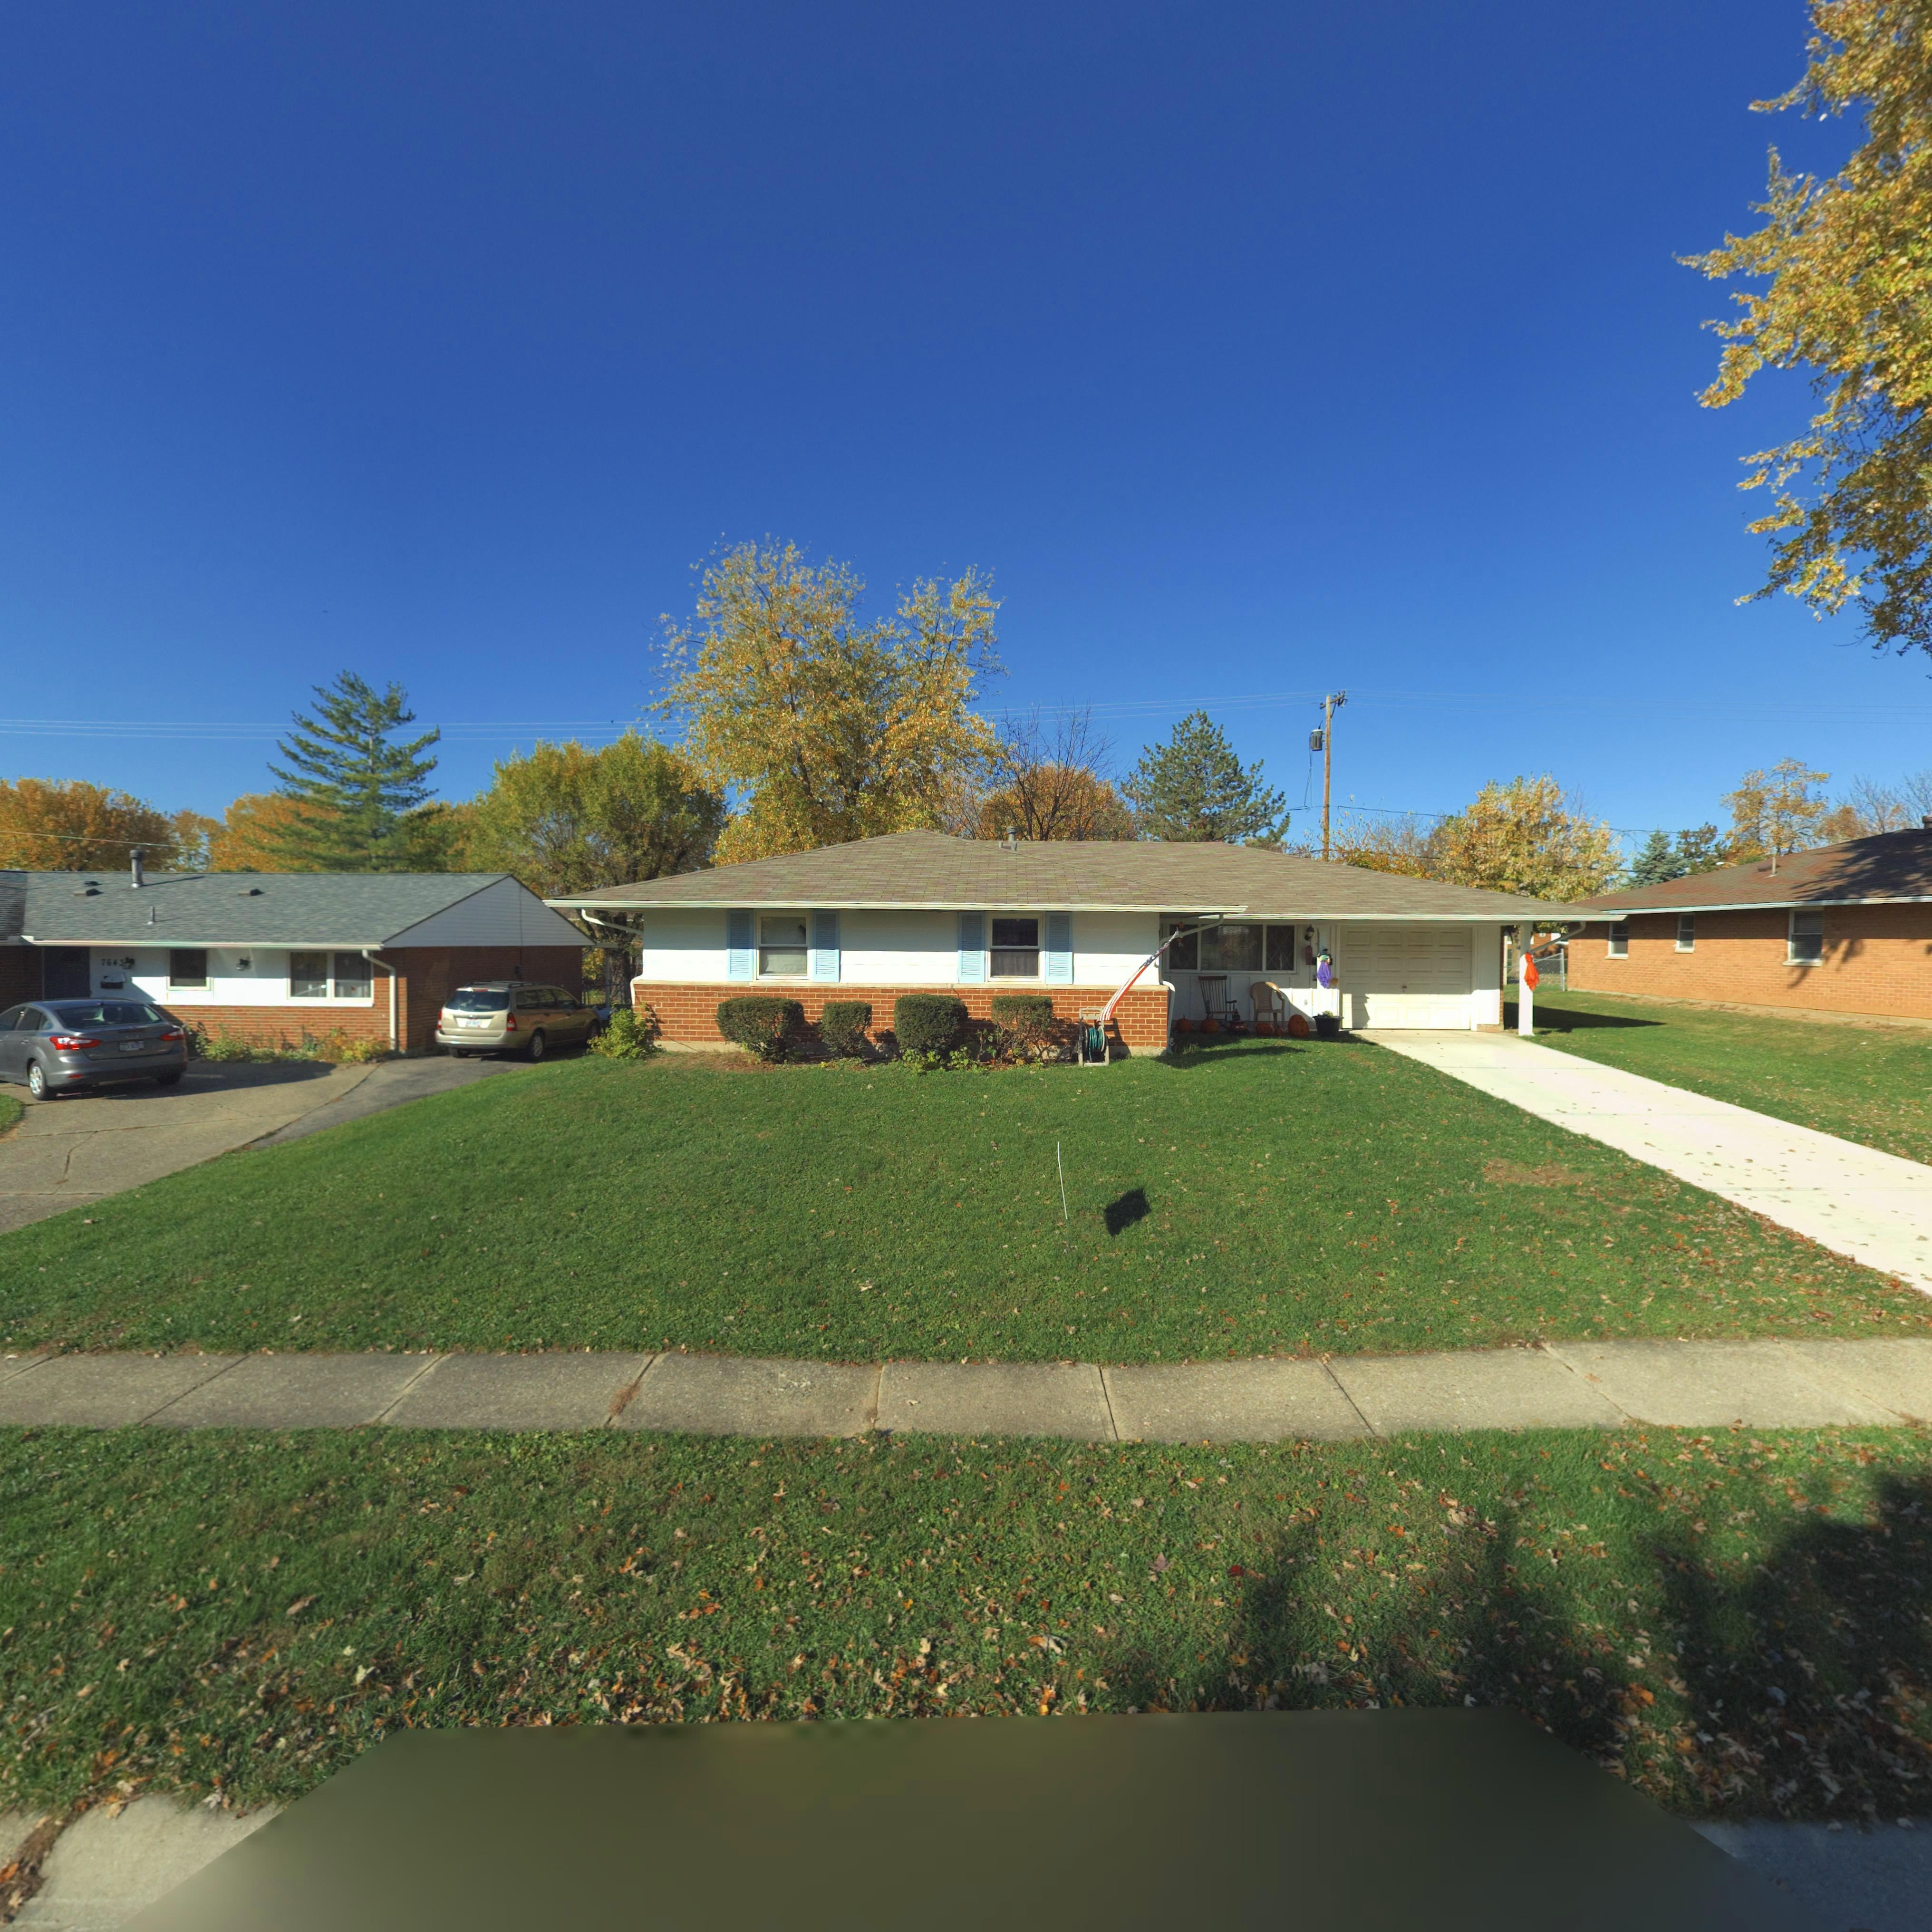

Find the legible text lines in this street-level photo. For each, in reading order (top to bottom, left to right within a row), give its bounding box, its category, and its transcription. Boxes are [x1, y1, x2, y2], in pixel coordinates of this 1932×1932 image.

[1314, 942, 1319, 947] StreetNumber: 7
[101, 958, 125, 967] StreetNumber: 7643